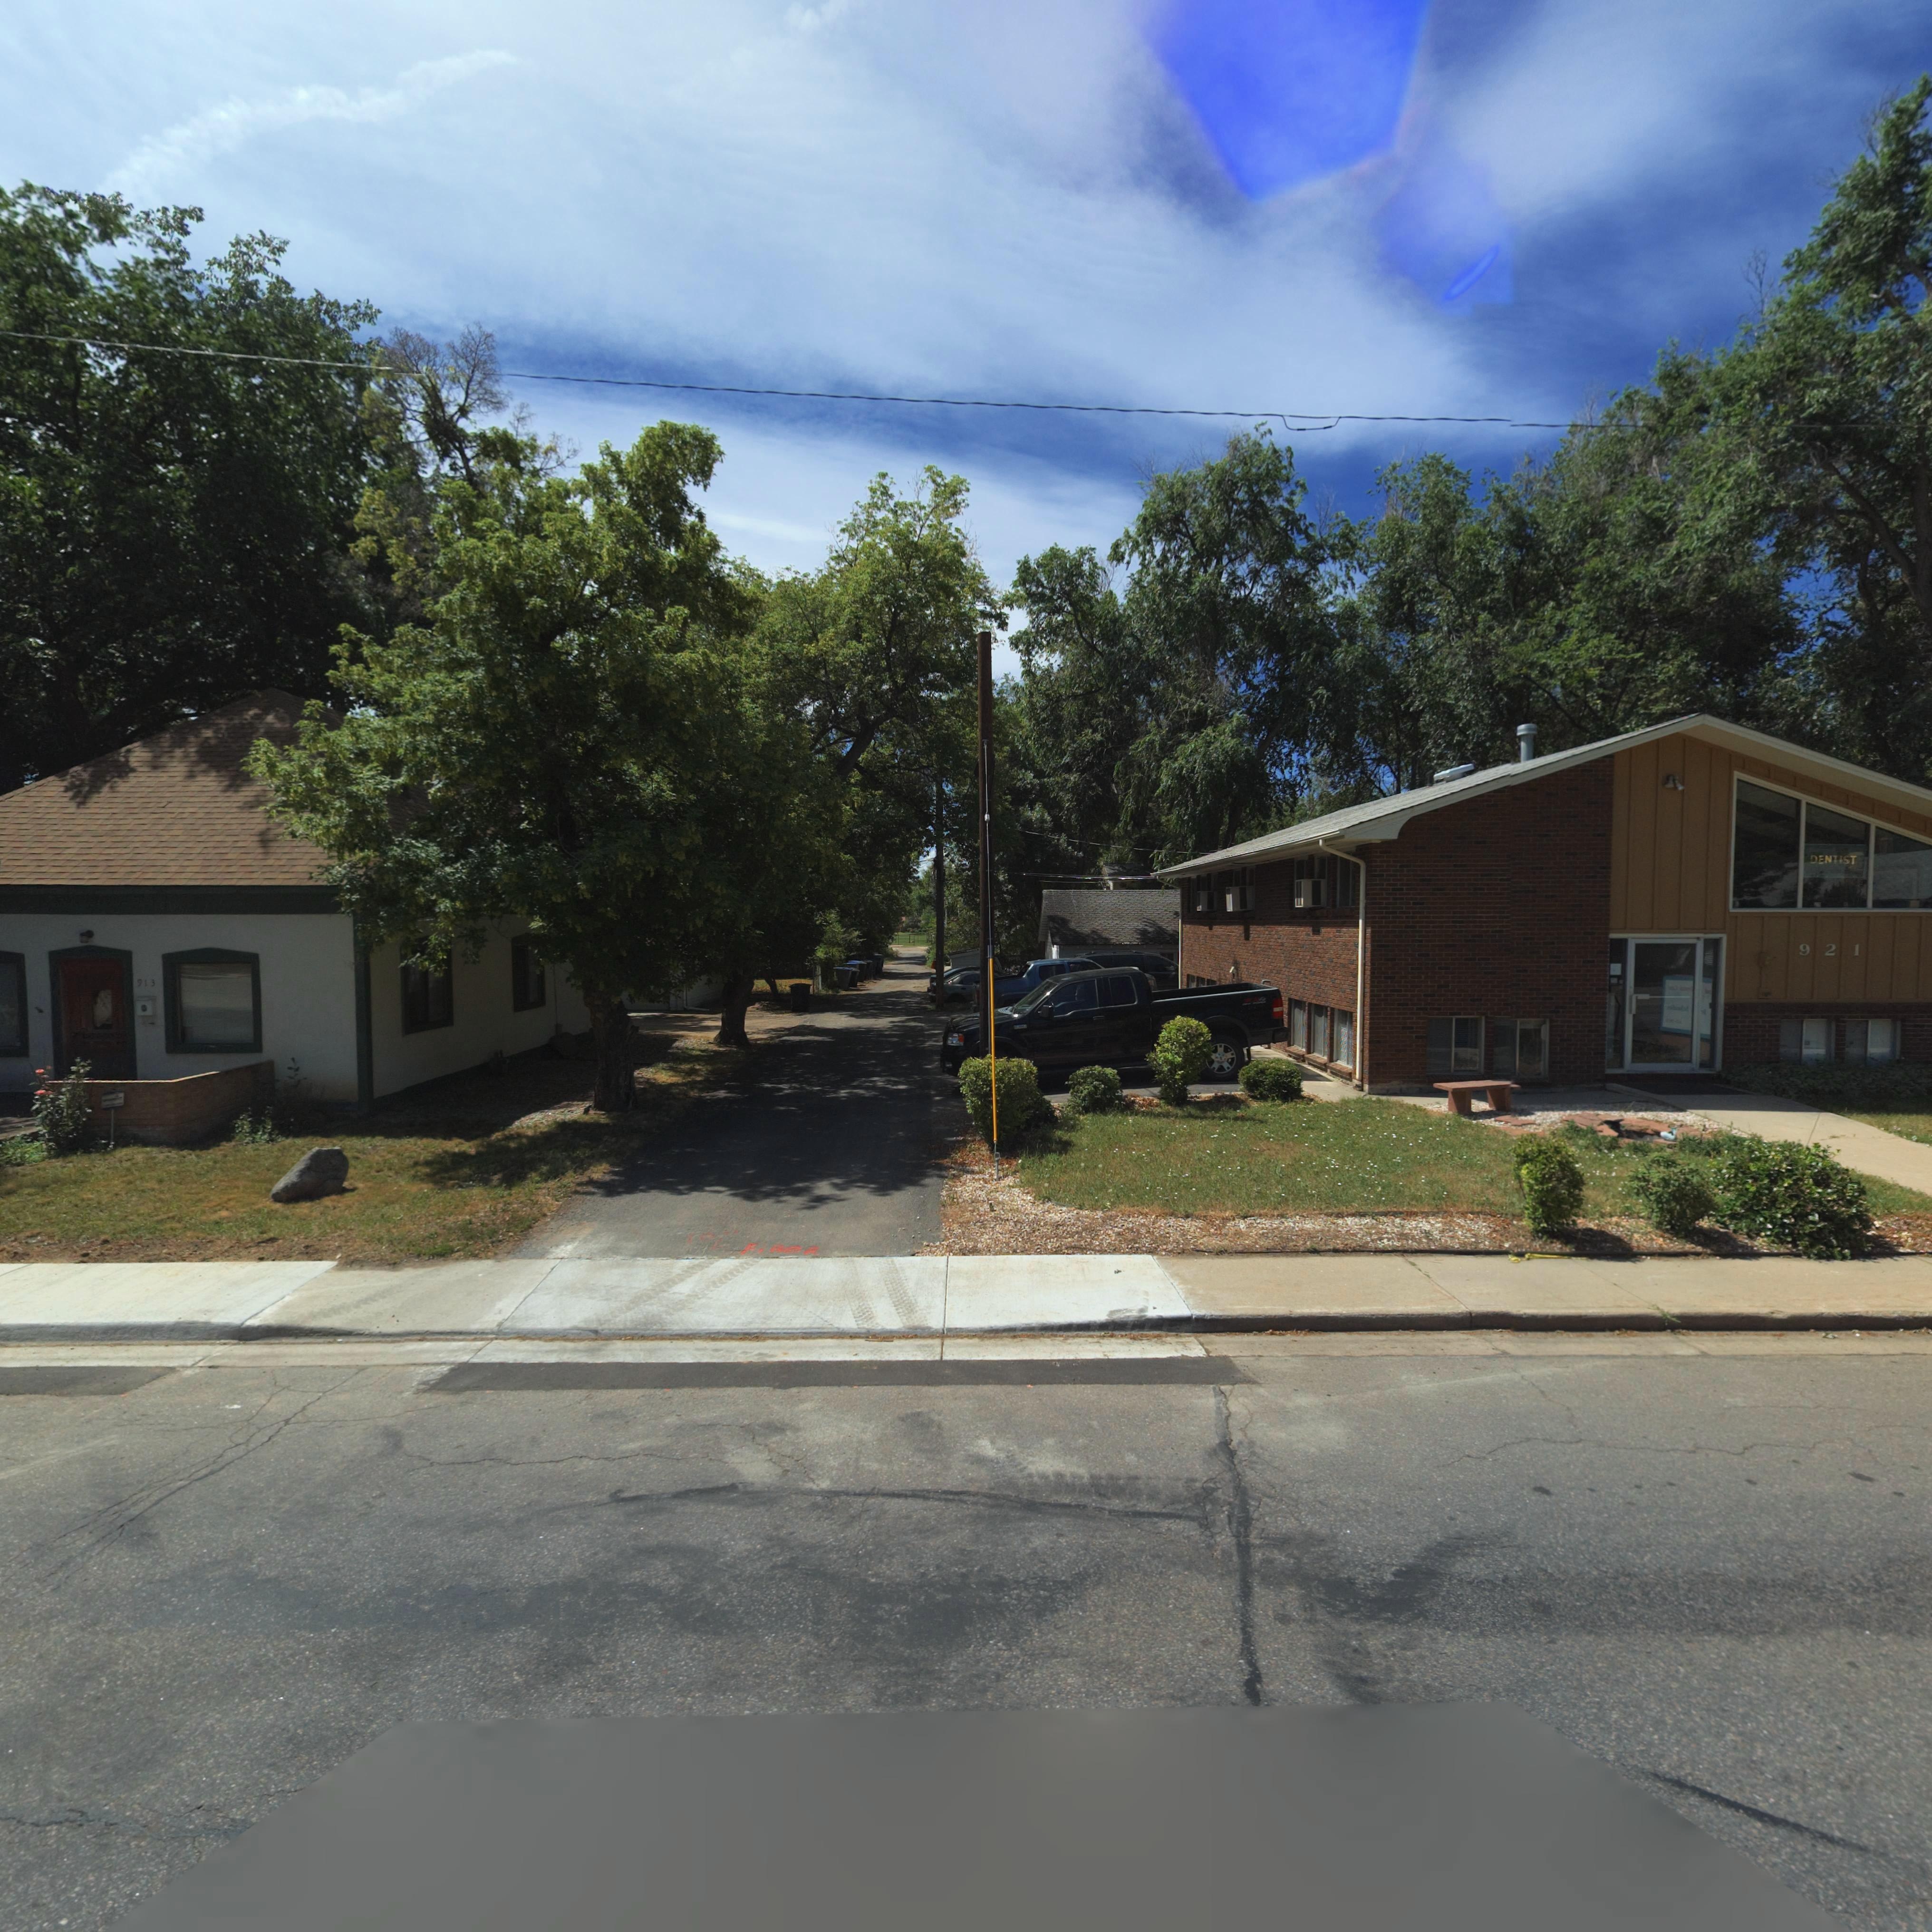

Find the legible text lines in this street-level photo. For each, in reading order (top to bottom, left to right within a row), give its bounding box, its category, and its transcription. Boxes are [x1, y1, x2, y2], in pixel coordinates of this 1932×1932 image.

[1797, 943, 1861, 957] StreetNumber: 921
[135, 977, 155, 987] StreetNumber: 913